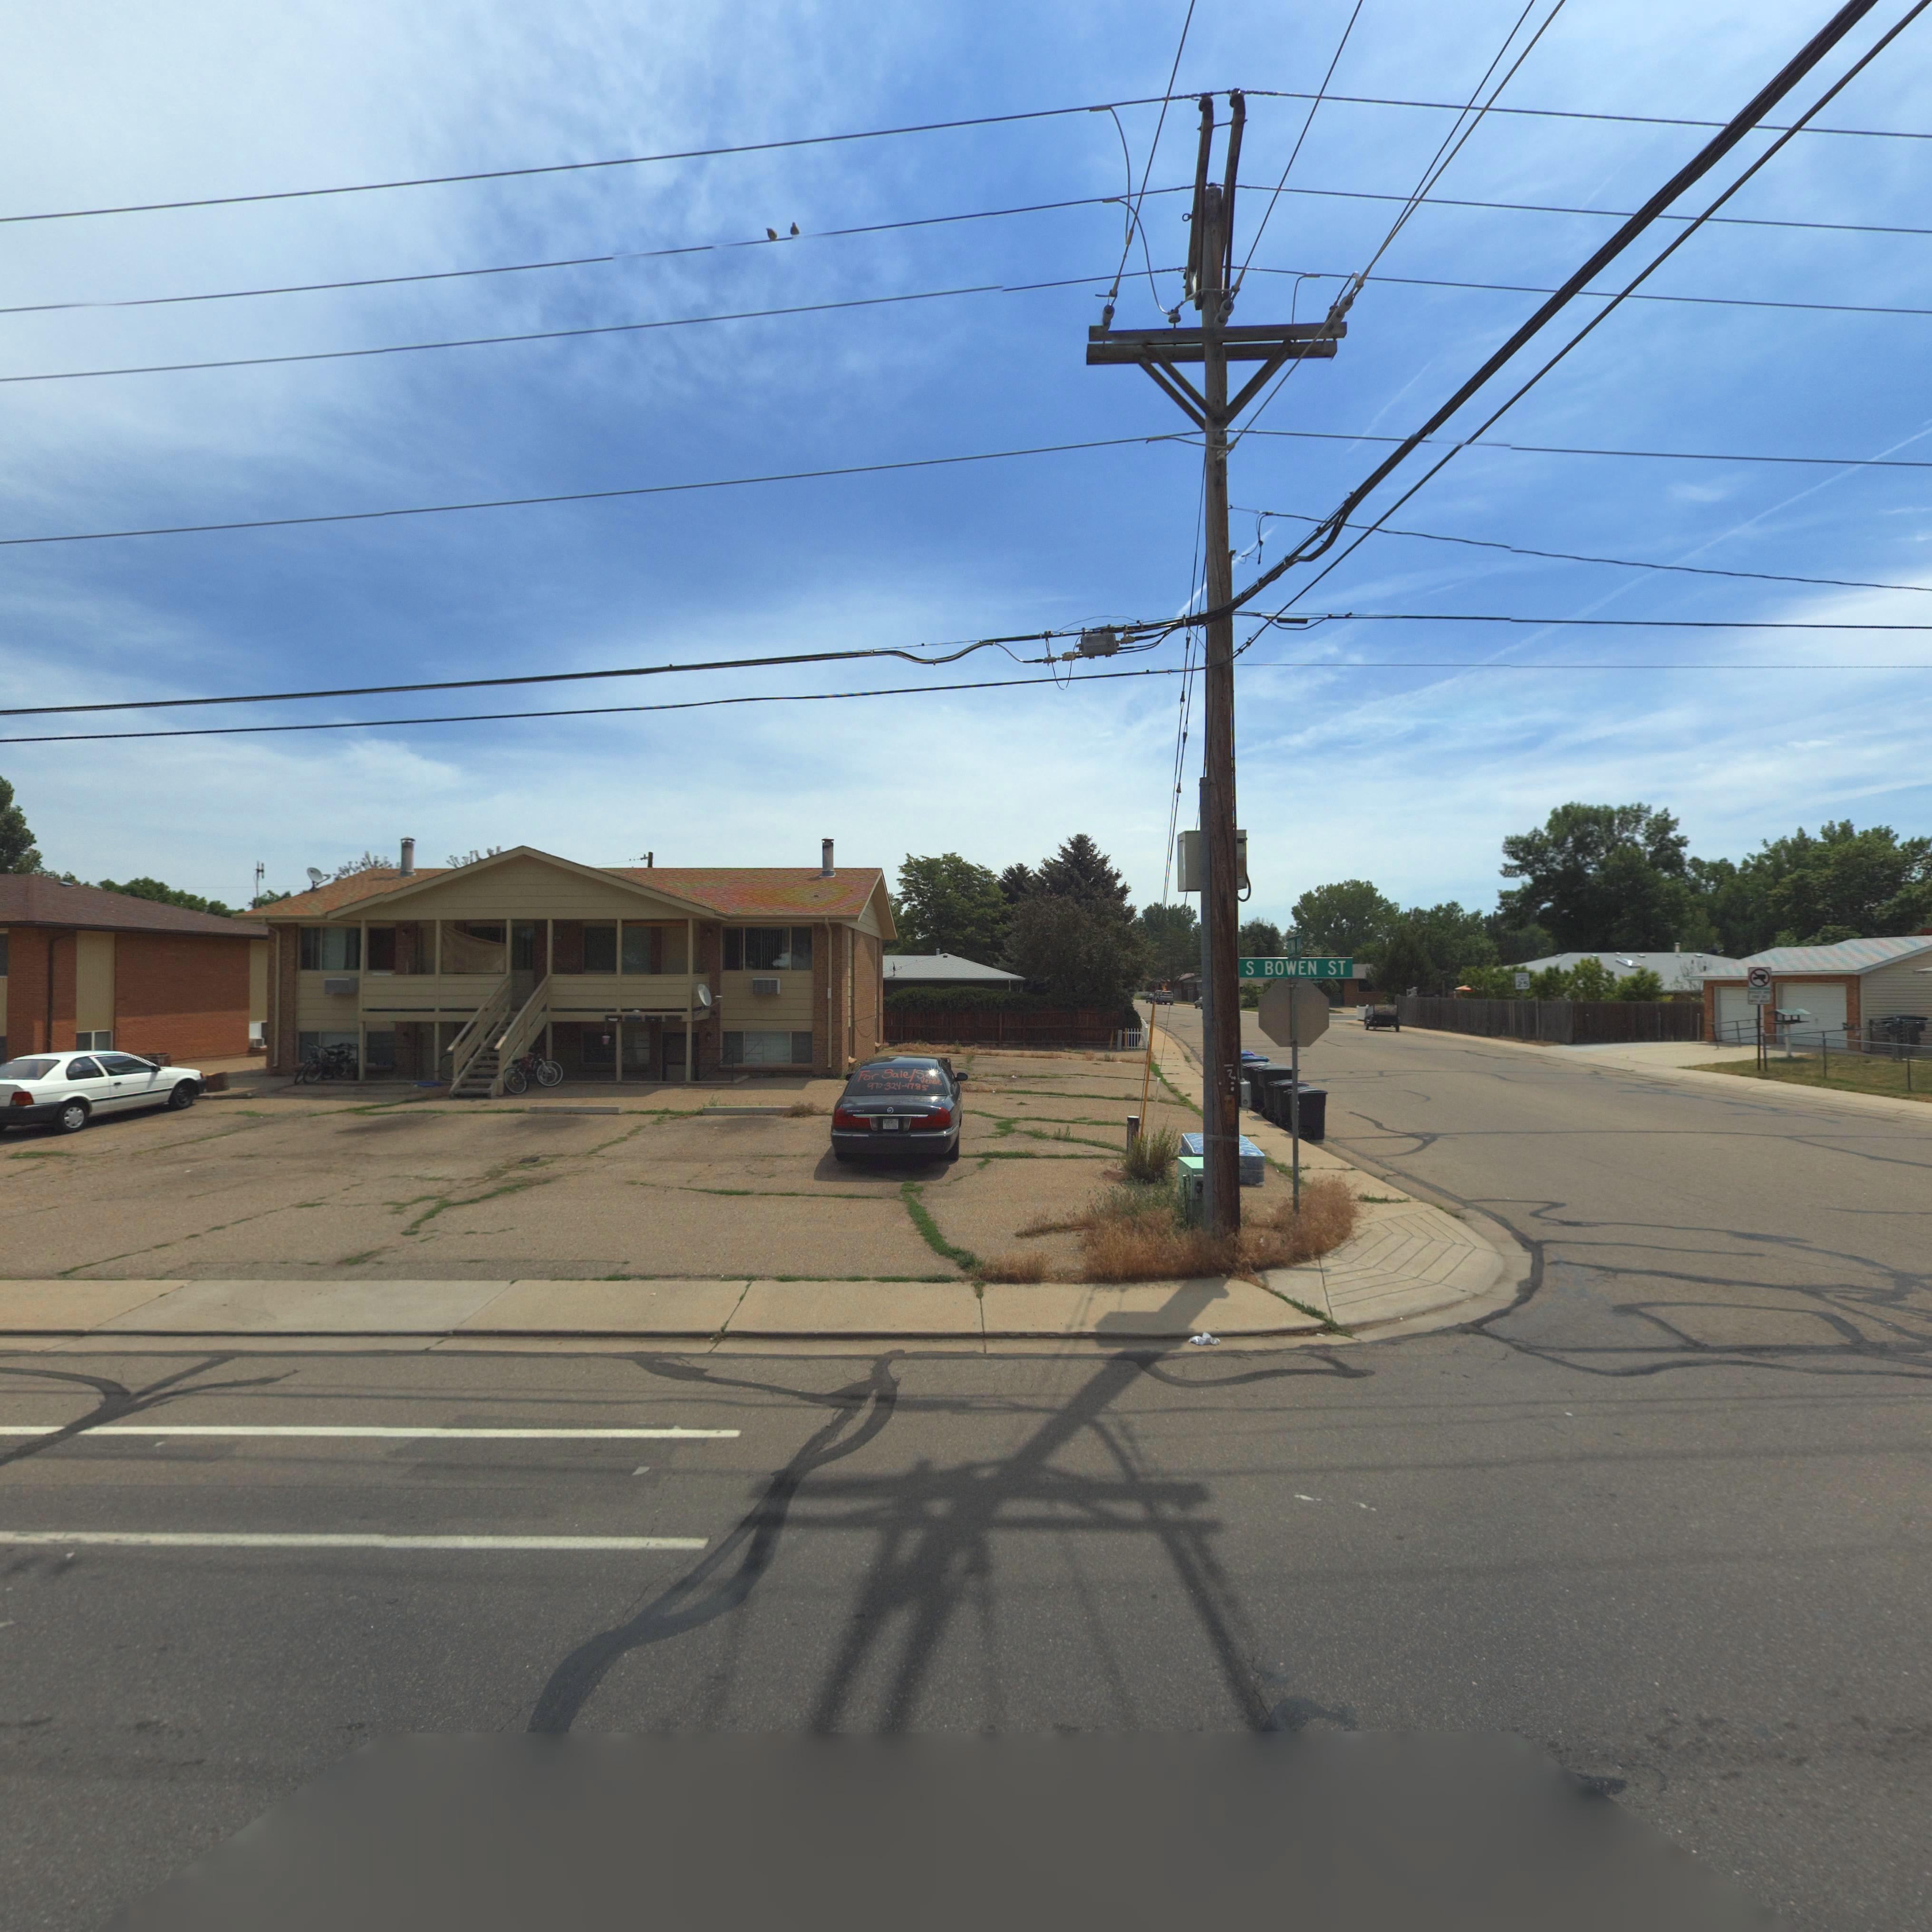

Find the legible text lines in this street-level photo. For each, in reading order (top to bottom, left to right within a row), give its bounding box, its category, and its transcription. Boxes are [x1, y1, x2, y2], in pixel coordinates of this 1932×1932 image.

[1245, 960, 1346, 975] StreetName: S BOWEN ST